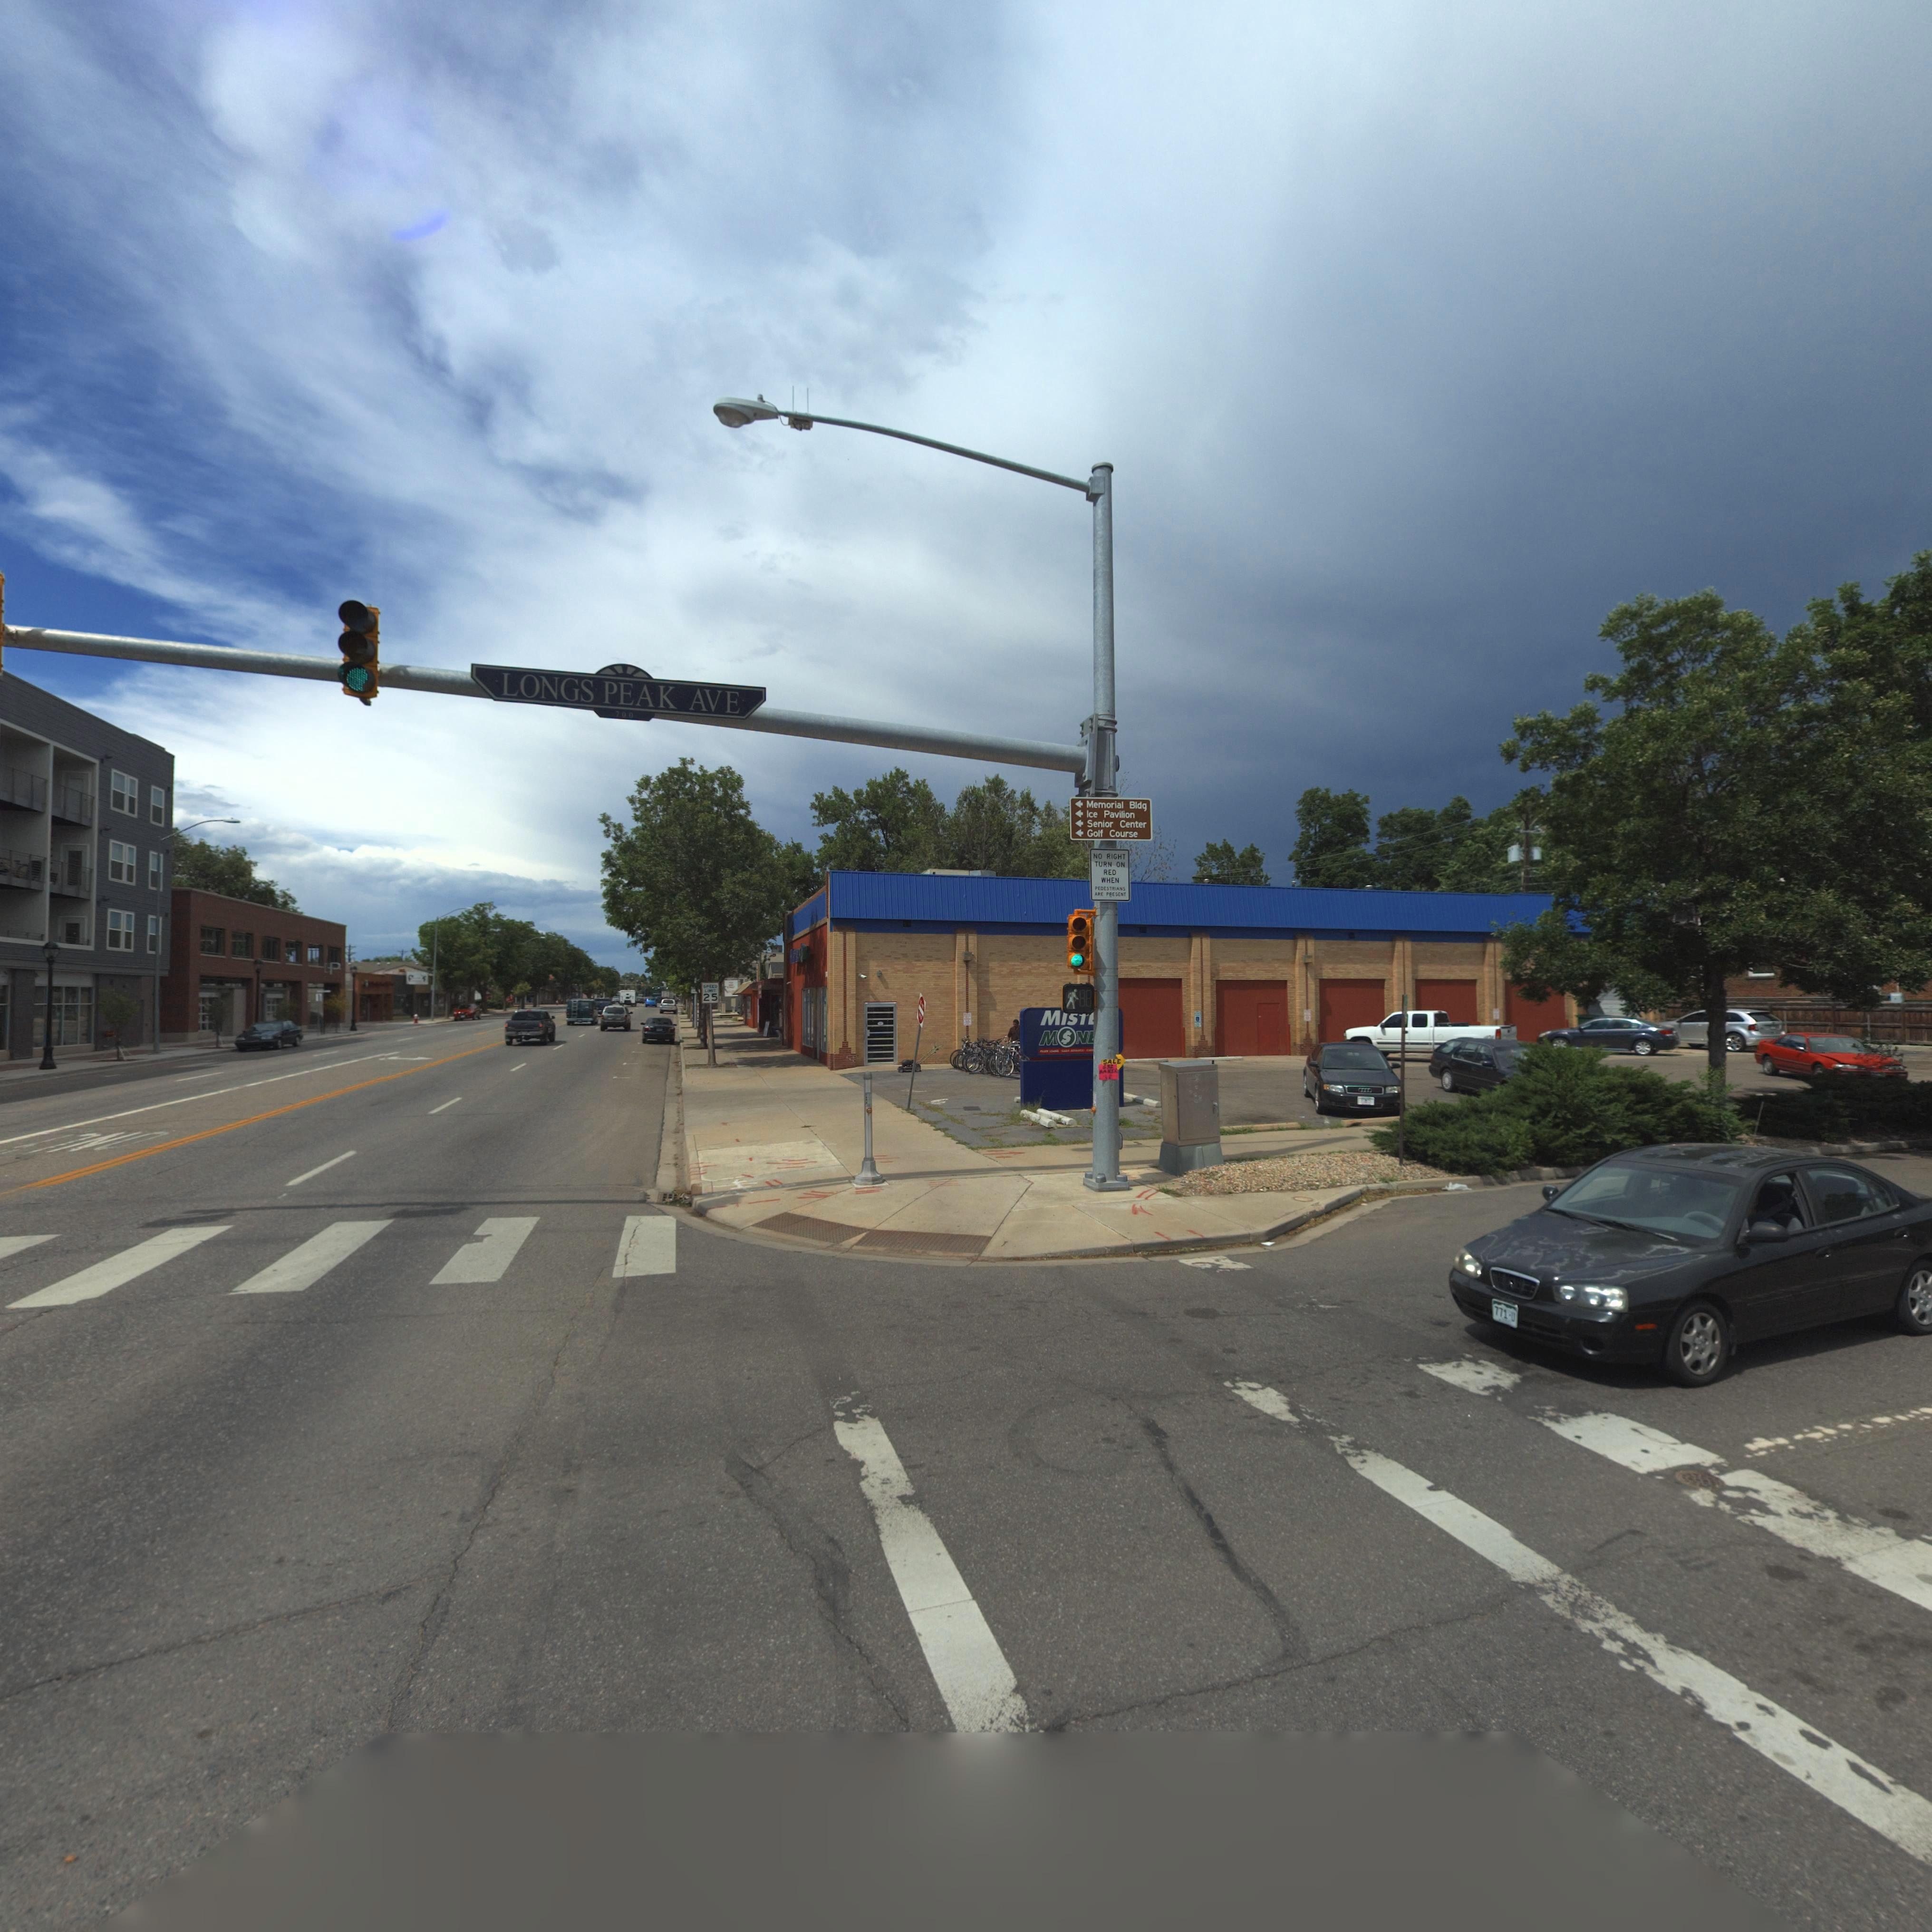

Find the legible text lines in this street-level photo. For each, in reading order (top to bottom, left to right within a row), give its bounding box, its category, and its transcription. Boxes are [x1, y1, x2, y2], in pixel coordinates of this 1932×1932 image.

[499, 671, 742, 714] StreetName: LONGS PEAK AVE
[615, 710, 634, 719] StreetNumberRange: 700
[407, 974, 414, 982] BusinessName: f
[1039, 1010, 1089, 1025] BusinessName: MIST
[1038, 1030, 1093, 1045] BusinessName: M*N*